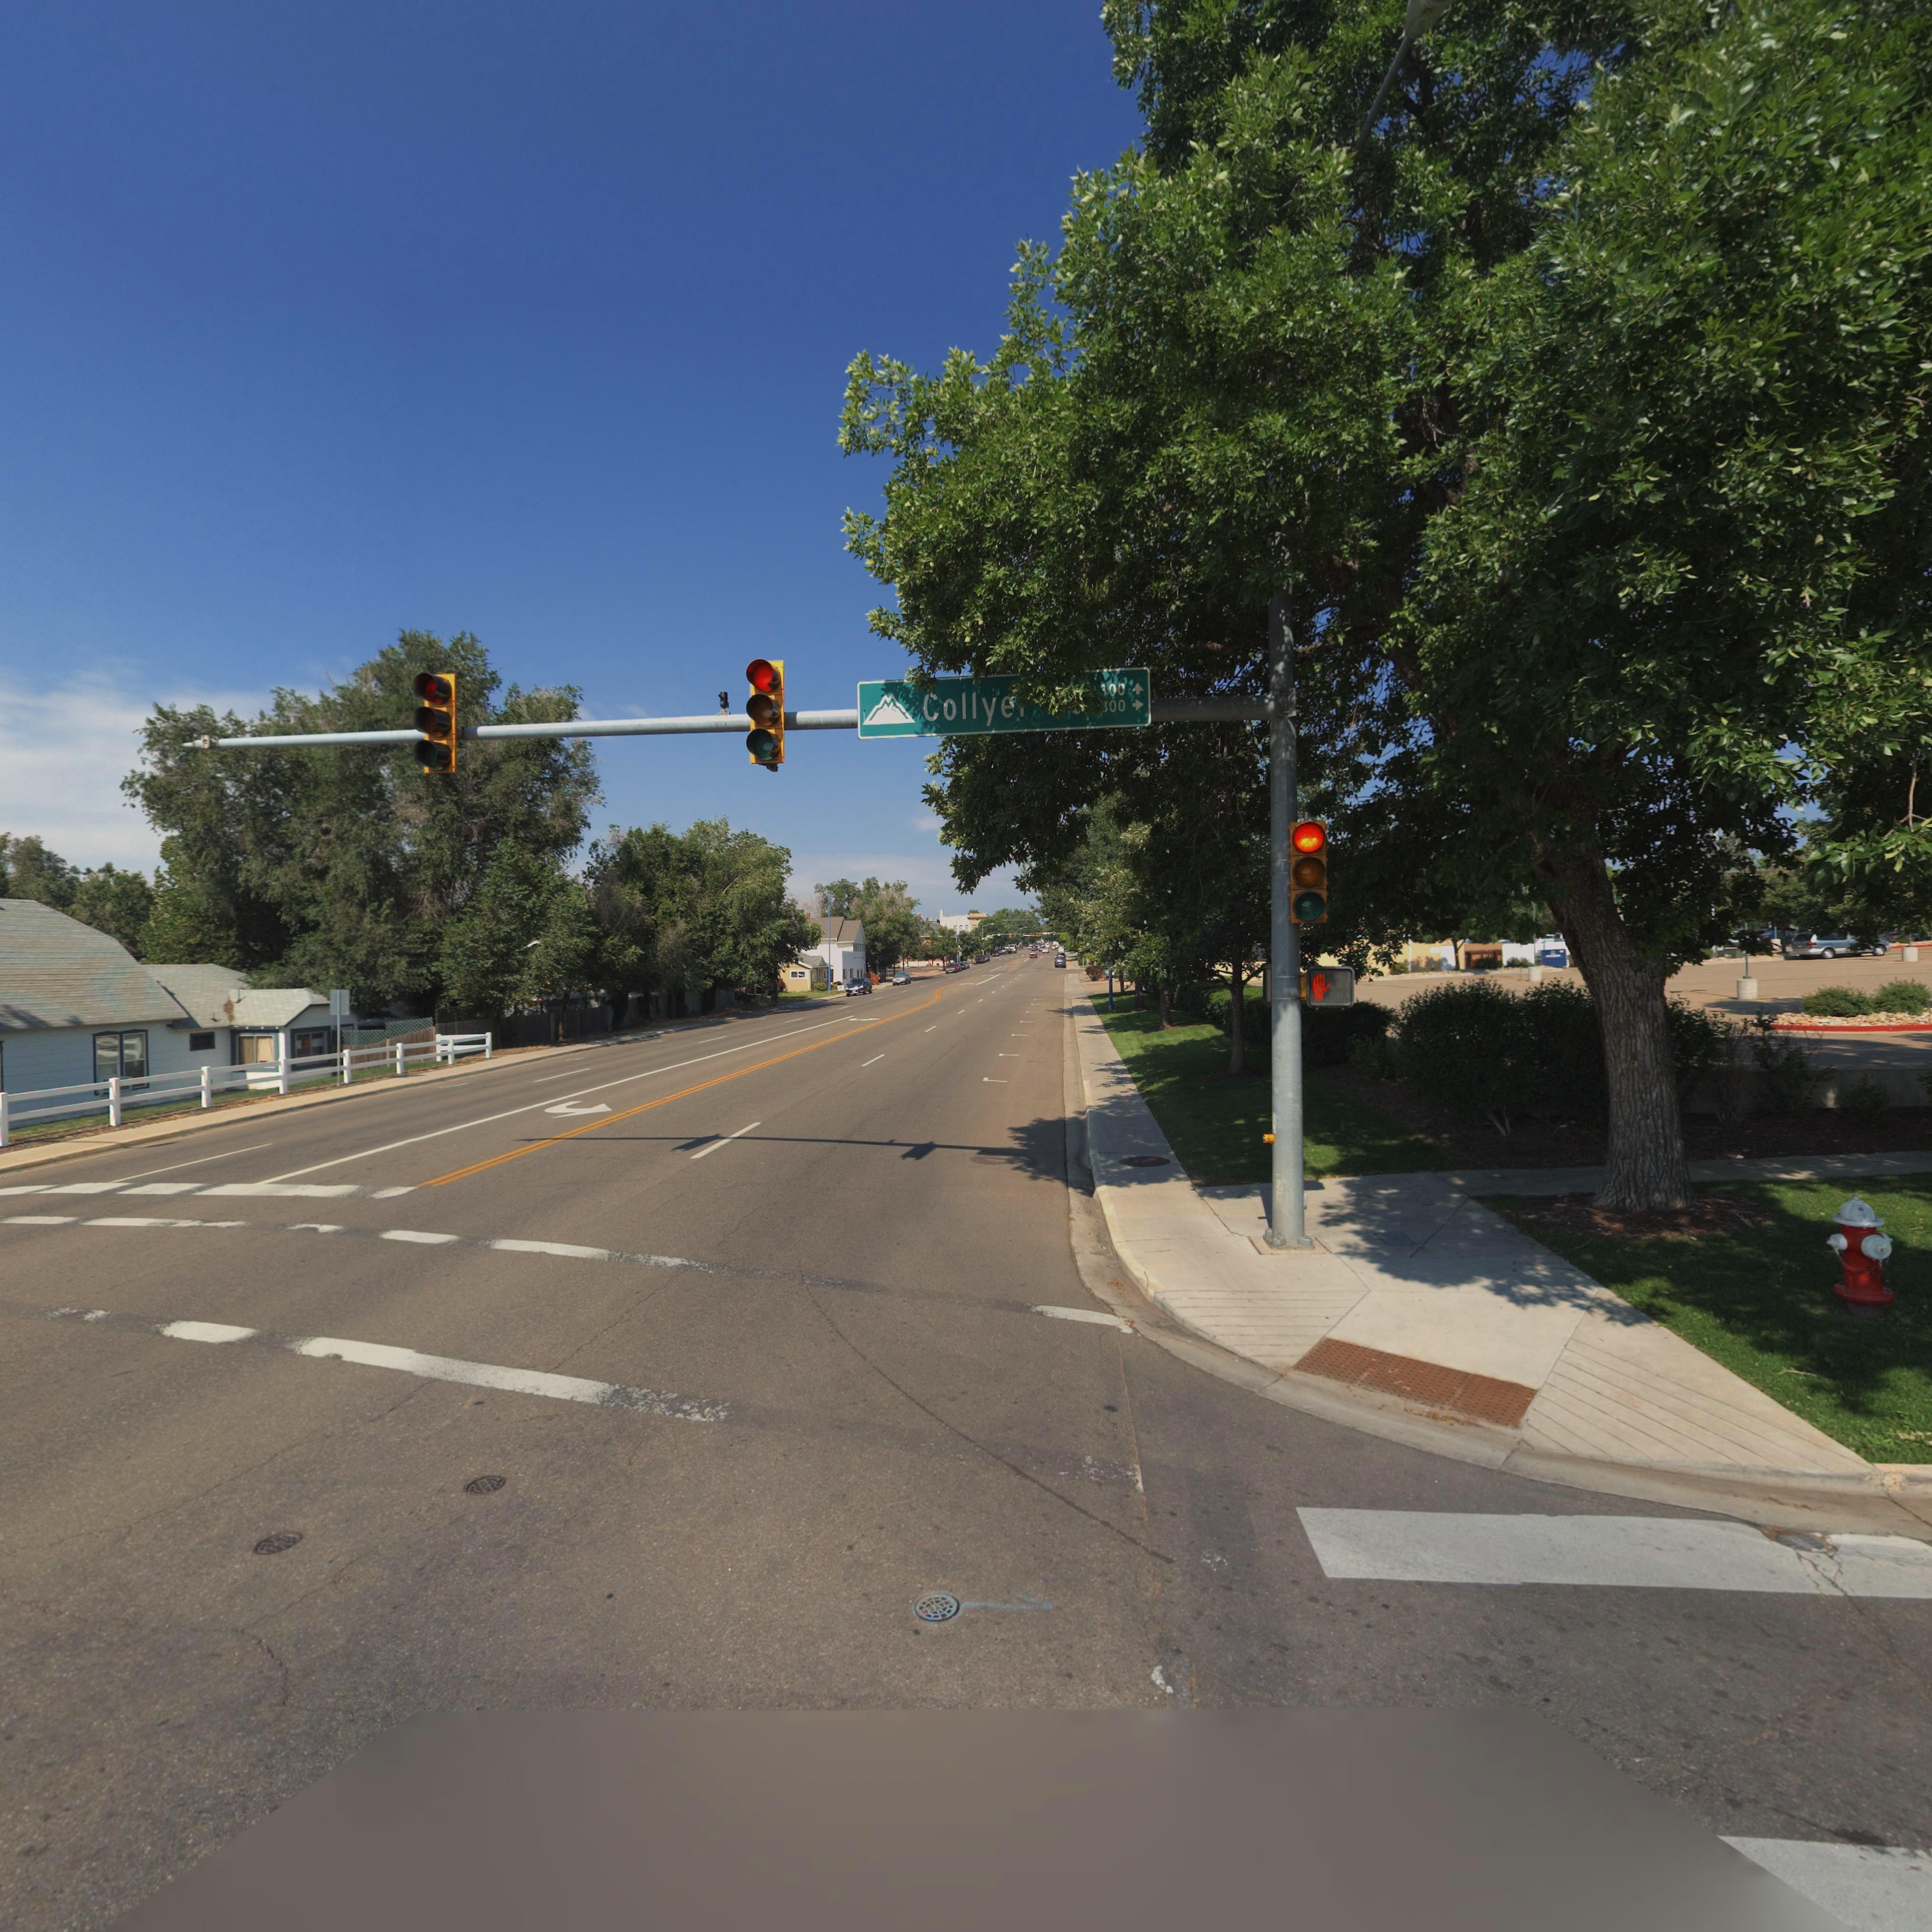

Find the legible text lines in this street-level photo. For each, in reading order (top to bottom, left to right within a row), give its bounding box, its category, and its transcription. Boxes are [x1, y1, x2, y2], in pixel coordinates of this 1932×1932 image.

[1098, 682, 1126, 696] StreetNumberRange: 300
[922, 689, 1036, 729] StreetName: Collye*
[1098, 697, 1146, 714] StreetNumberRange: *00->